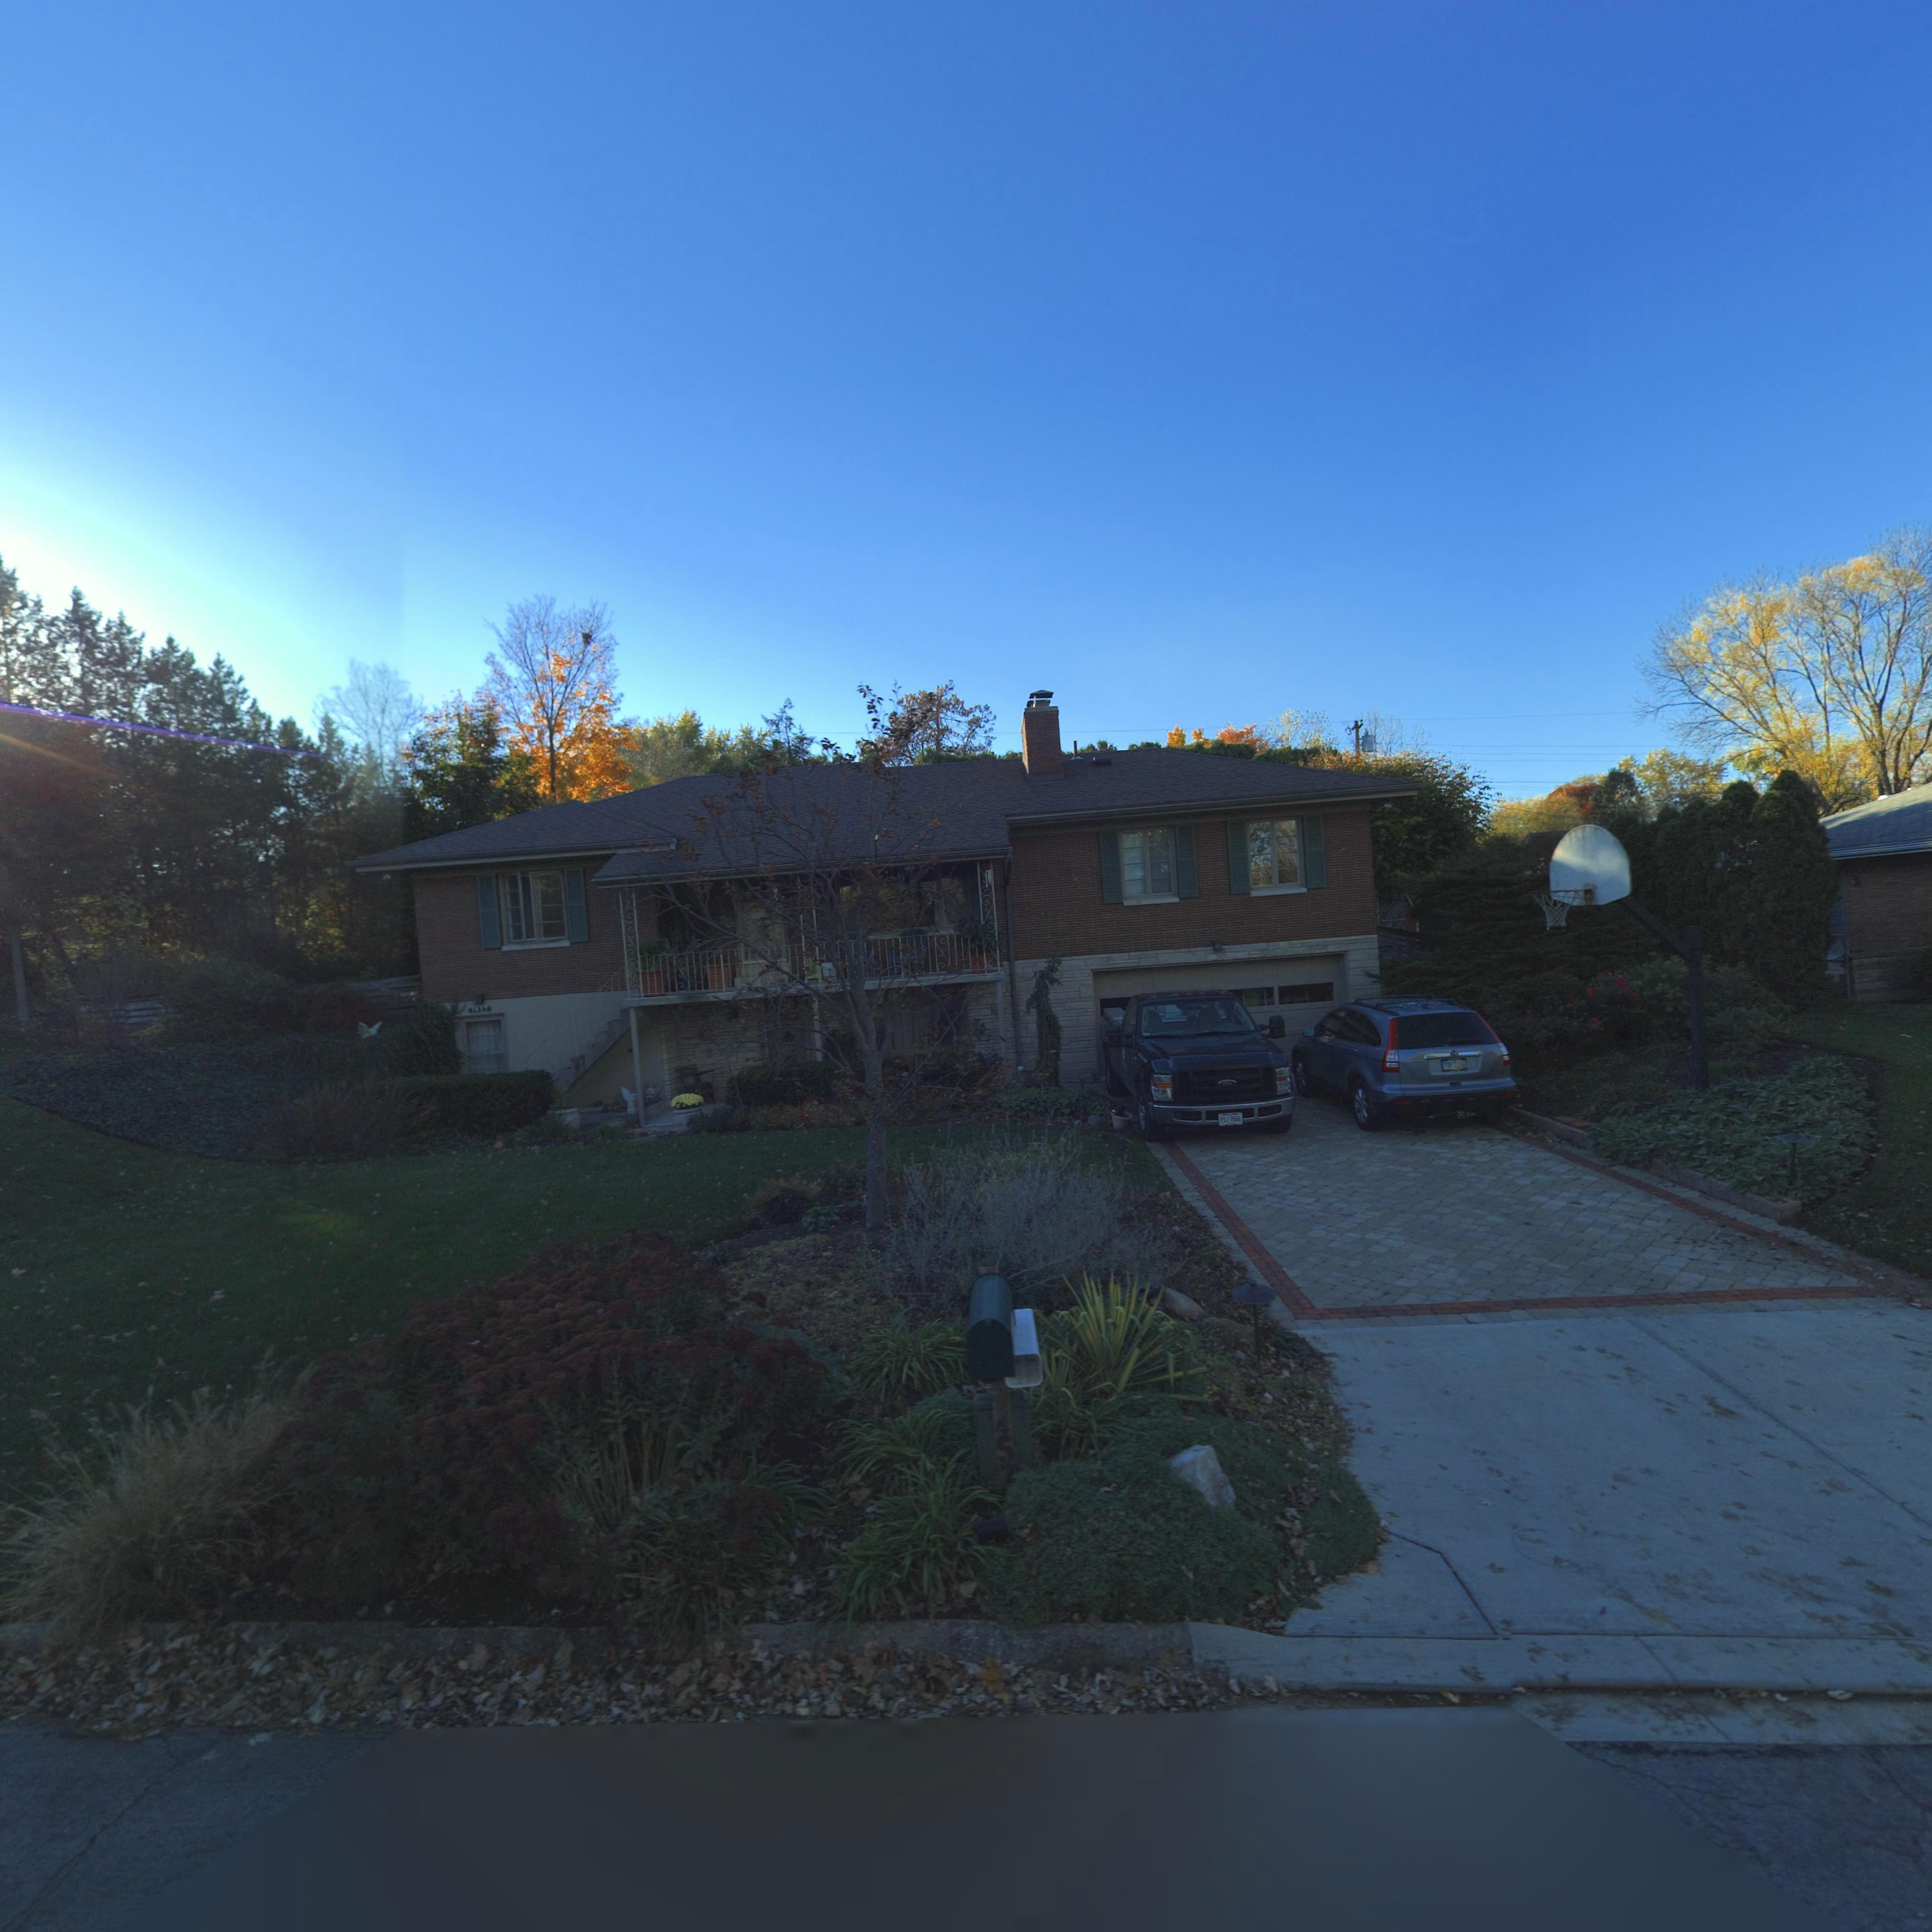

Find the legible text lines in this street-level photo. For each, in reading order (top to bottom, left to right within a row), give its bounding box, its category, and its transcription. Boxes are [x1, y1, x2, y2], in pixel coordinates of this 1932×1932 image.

[469, 1005, 489, 1013] StreetNumber: 7457
[996, 1434, 1016, 1466] StreetNumber: 5